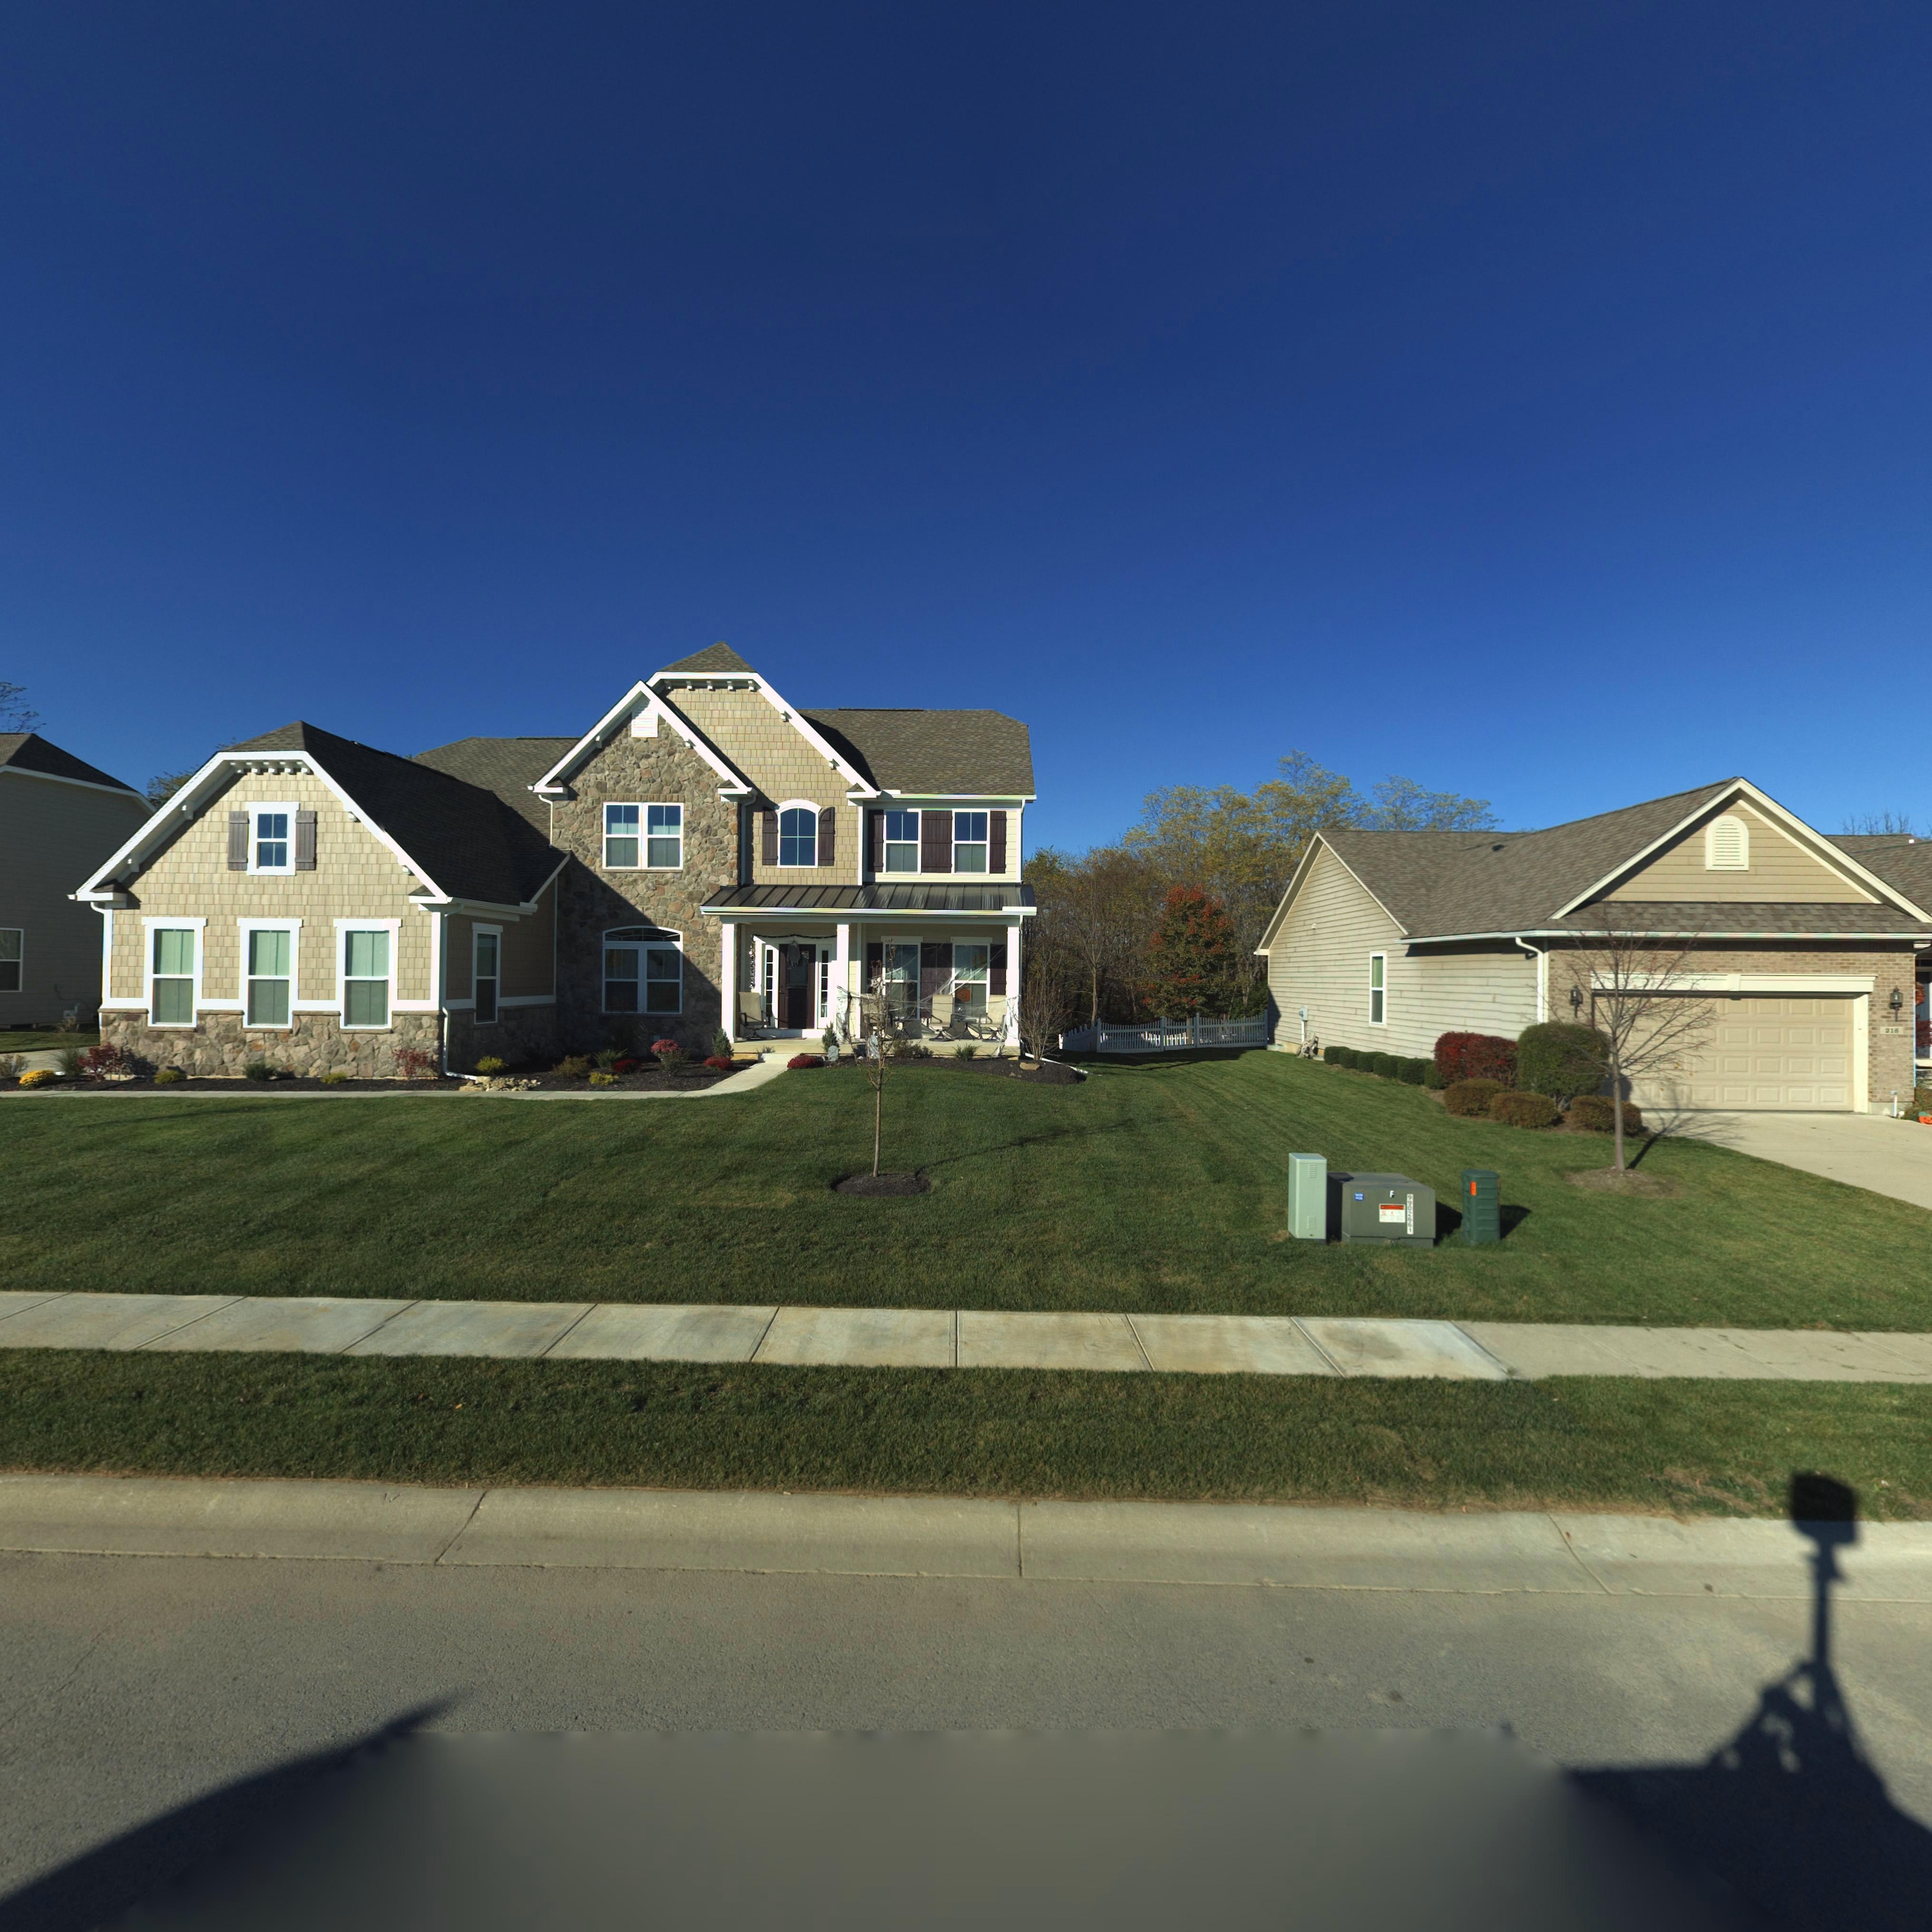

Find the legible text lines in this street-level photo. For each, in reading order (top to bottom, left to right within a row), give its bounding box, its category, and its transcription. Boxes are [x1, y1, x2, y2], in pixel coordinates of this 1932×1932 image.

[1884, 1027, 1900, 1034] StreetNumber: *1*
[1406, 1194, 1413, 1233] None: 990***1